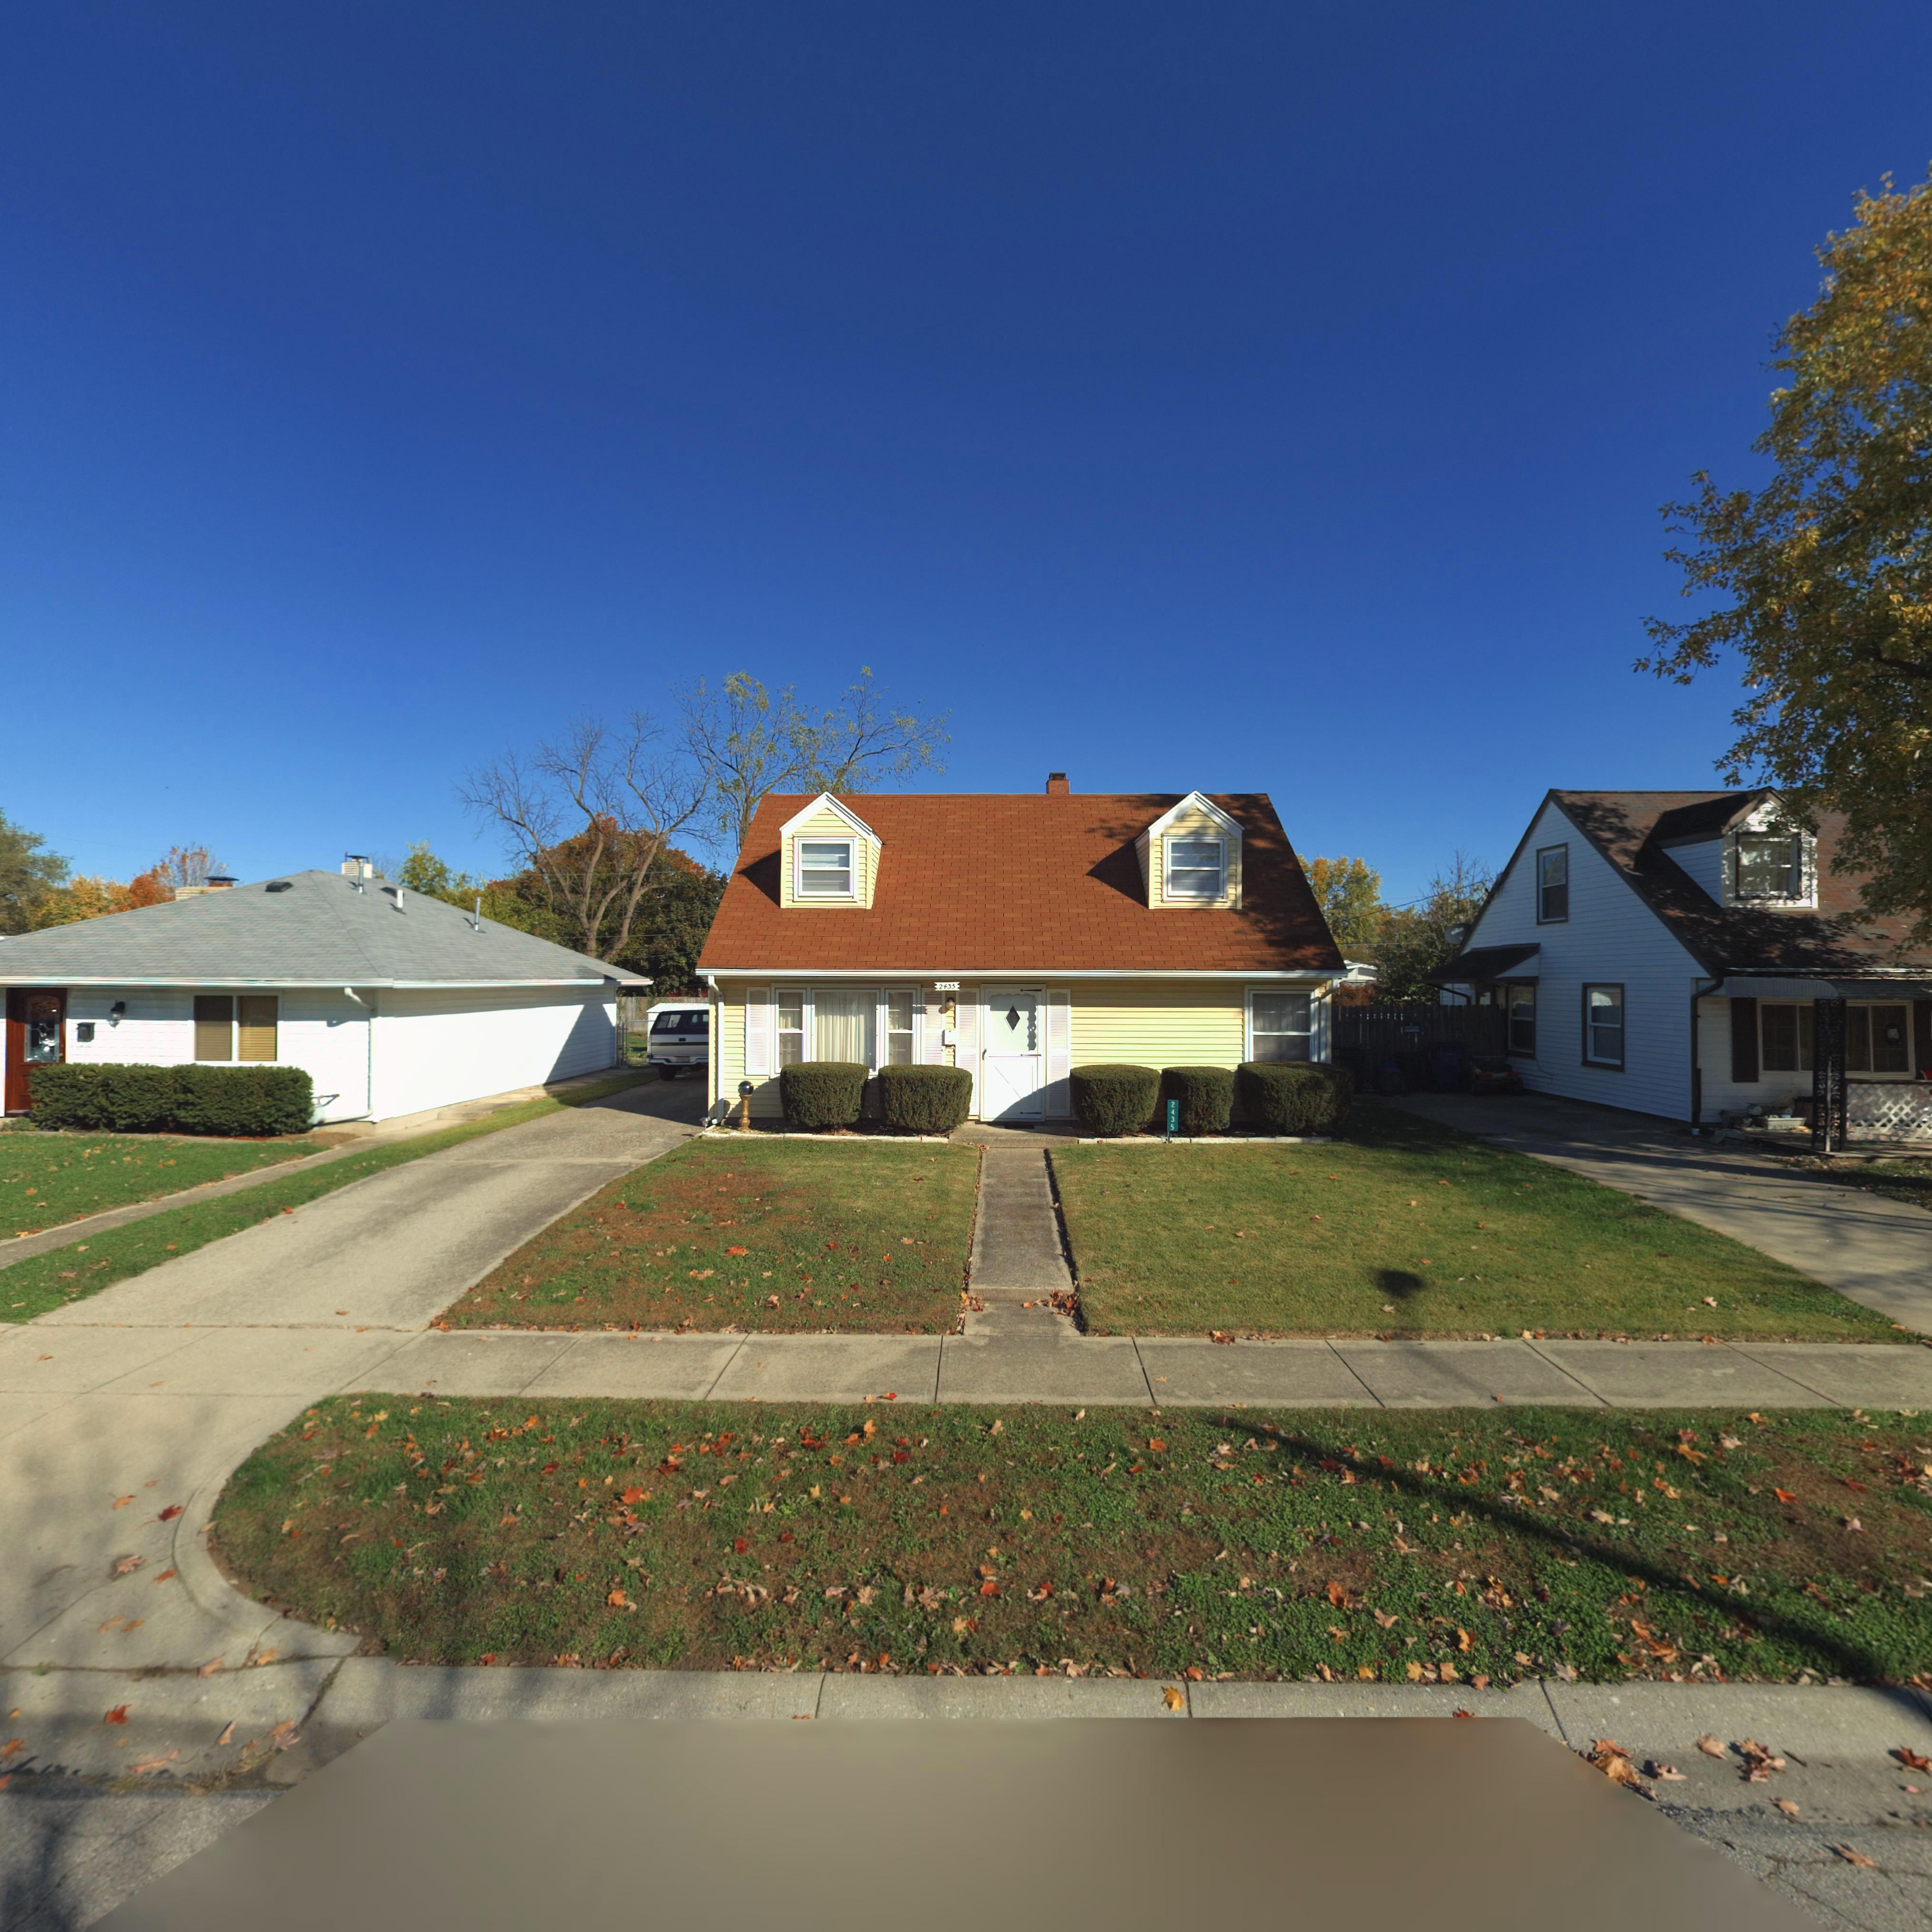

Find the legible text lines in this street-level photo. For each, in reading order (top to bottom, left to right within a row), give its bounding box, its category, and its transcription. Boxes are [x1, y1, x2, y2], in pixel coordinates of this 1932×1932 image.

[937, 983, 957, 990] StreetNumber: 2435
[1170, 1100, 1176, 1131] StreetNumber: 2435